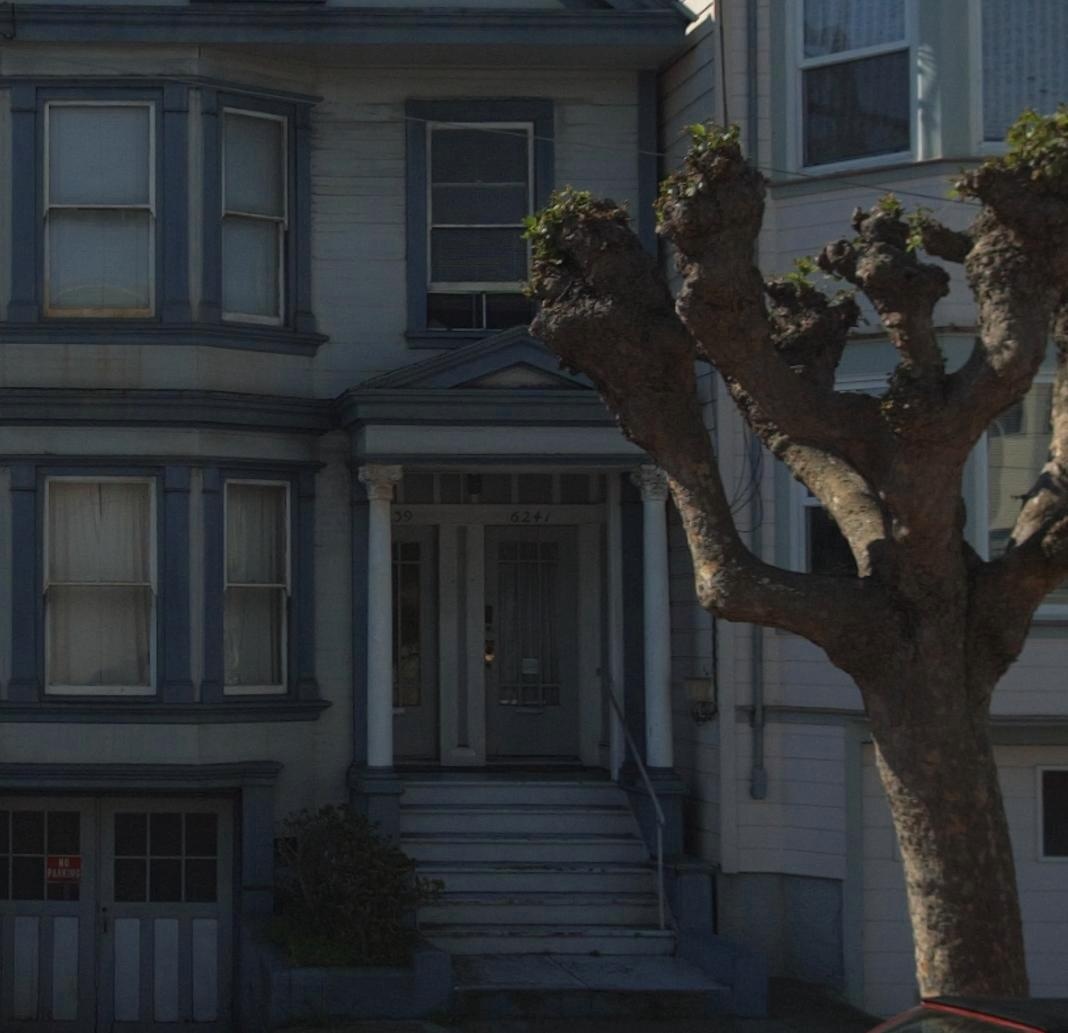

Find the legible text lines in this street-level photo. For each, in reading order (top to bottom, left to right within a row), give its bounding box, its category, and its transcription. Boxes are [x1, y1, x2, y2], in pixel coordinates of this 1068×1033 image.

[392, 508, 412, 523] StreetNumber: 39
[510, 510, 552, 525] StreetNumber: 6241